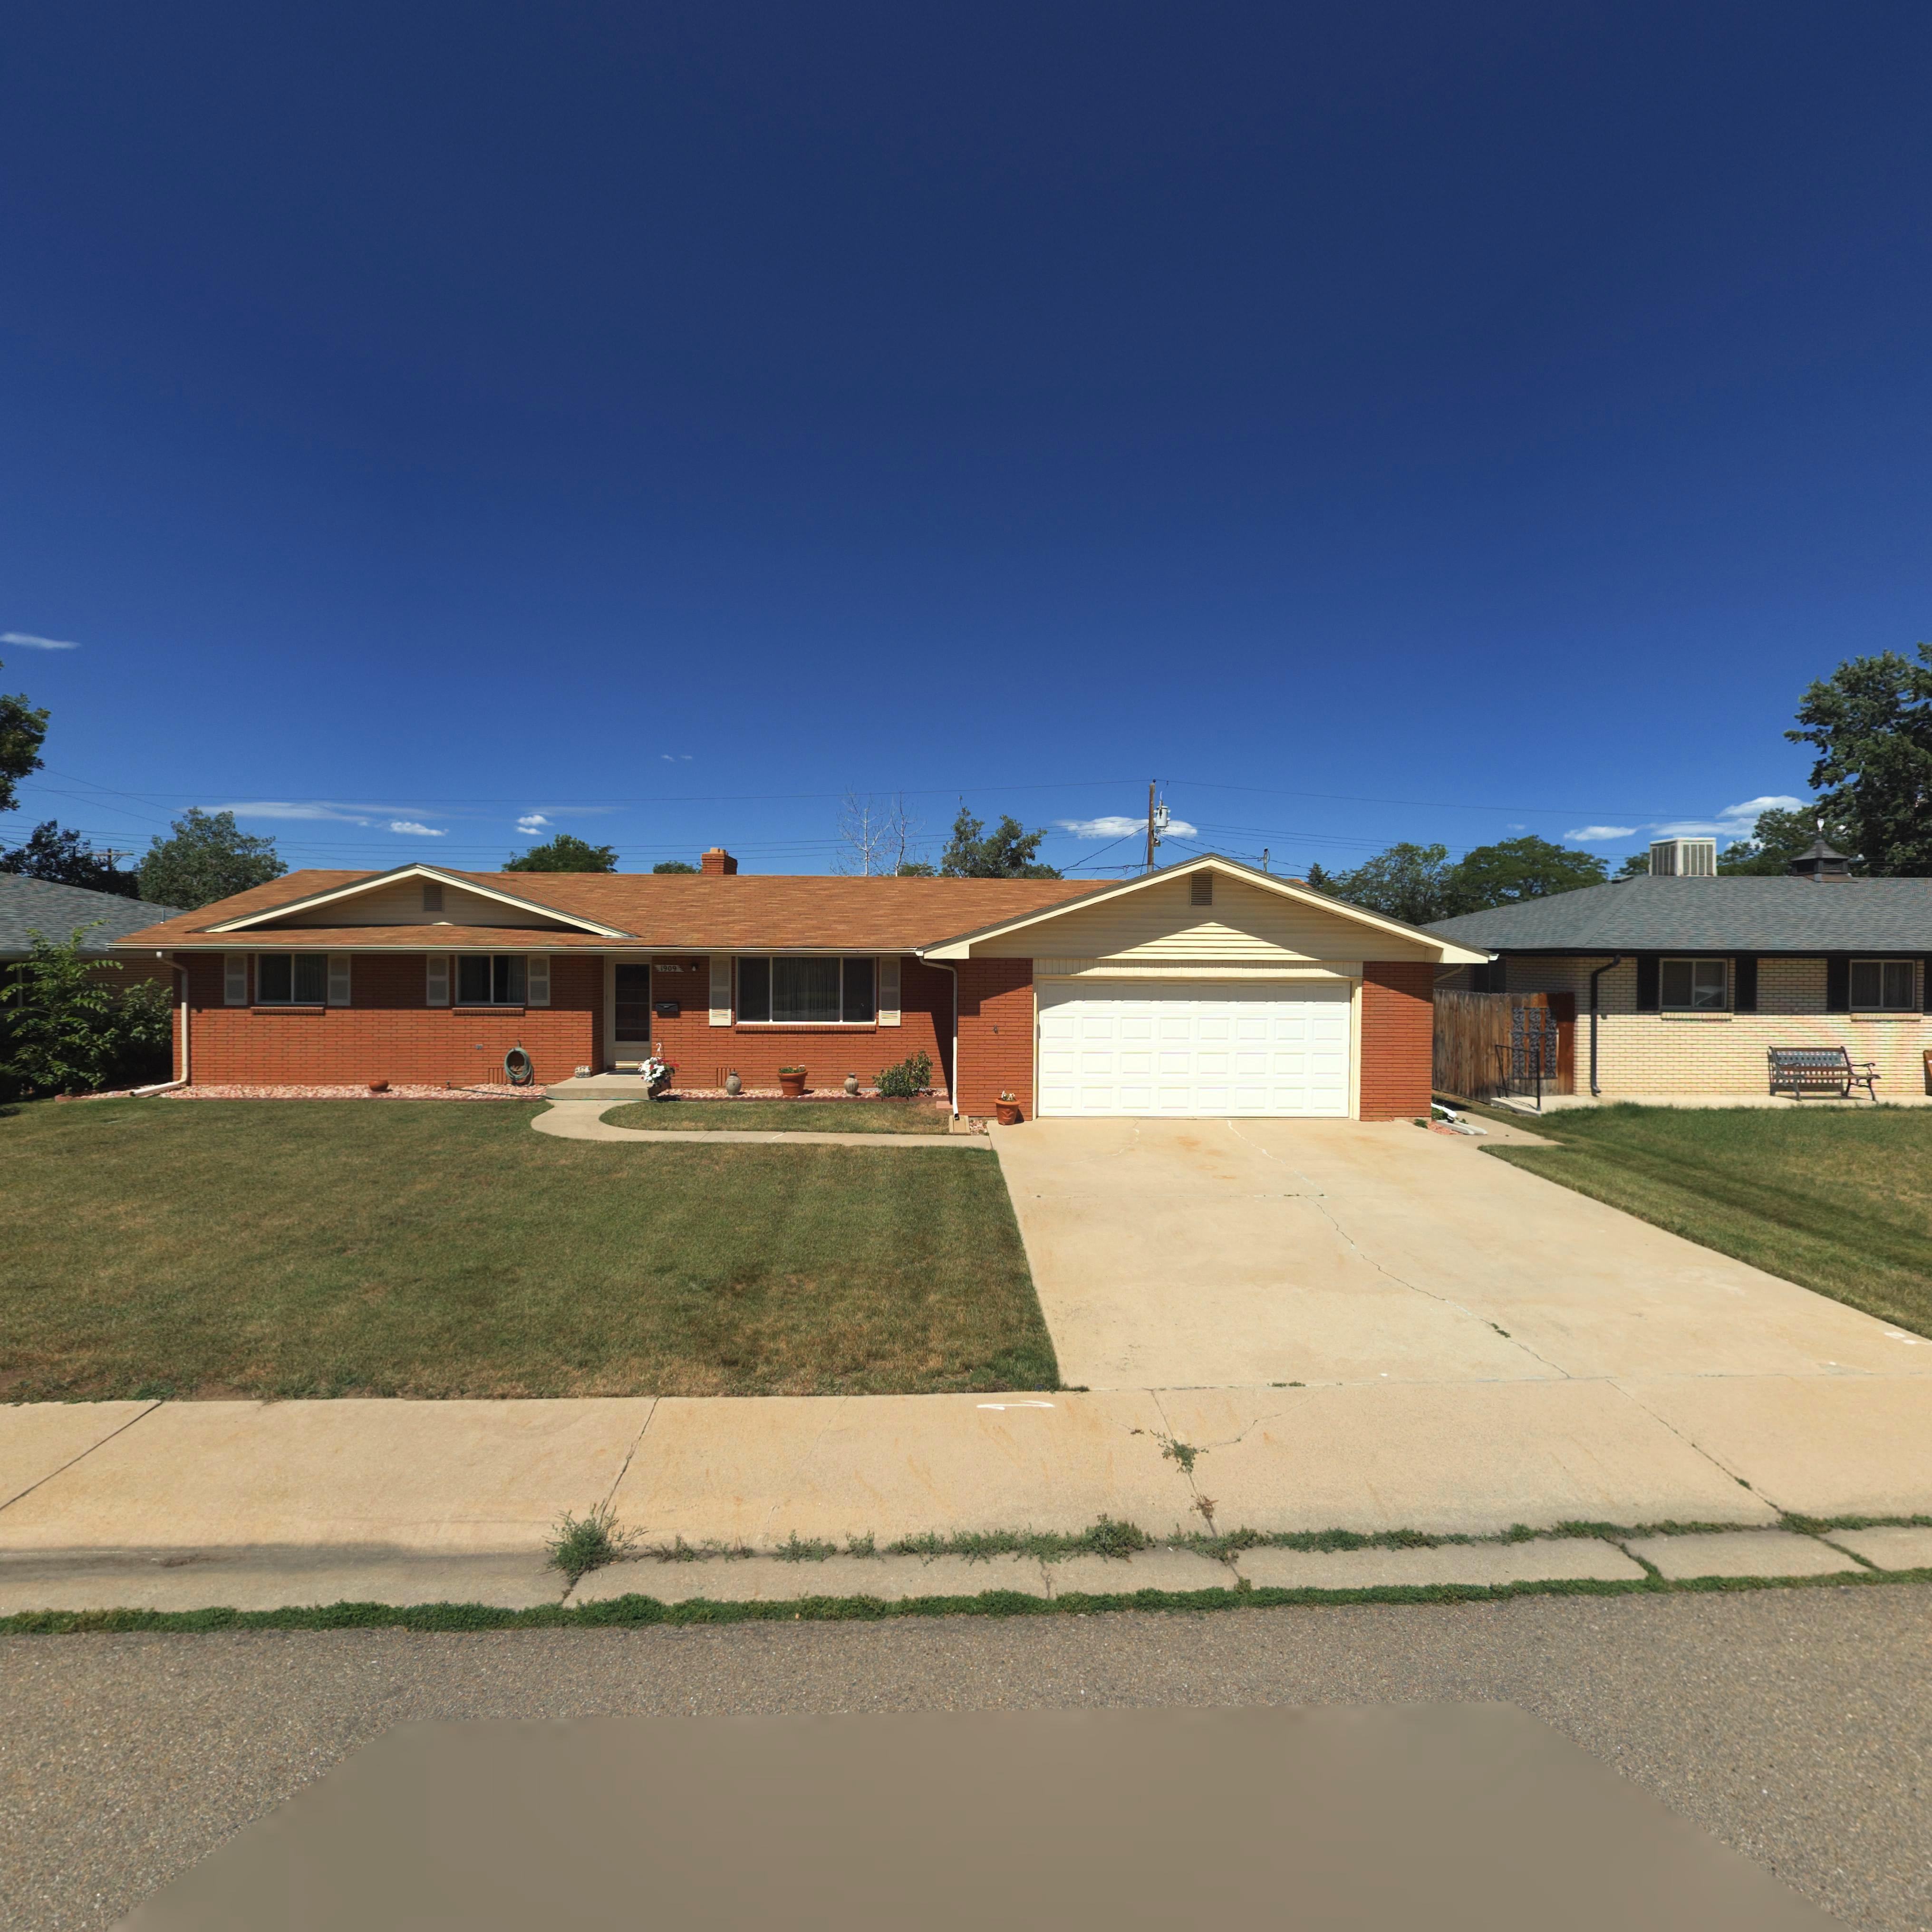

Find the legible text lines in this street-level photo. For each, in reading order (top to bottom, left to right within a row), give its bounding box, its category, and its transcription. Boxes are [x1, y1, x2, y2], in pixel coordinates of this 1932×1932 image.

[660, 965, 677, 972] StreetNumber: 1909